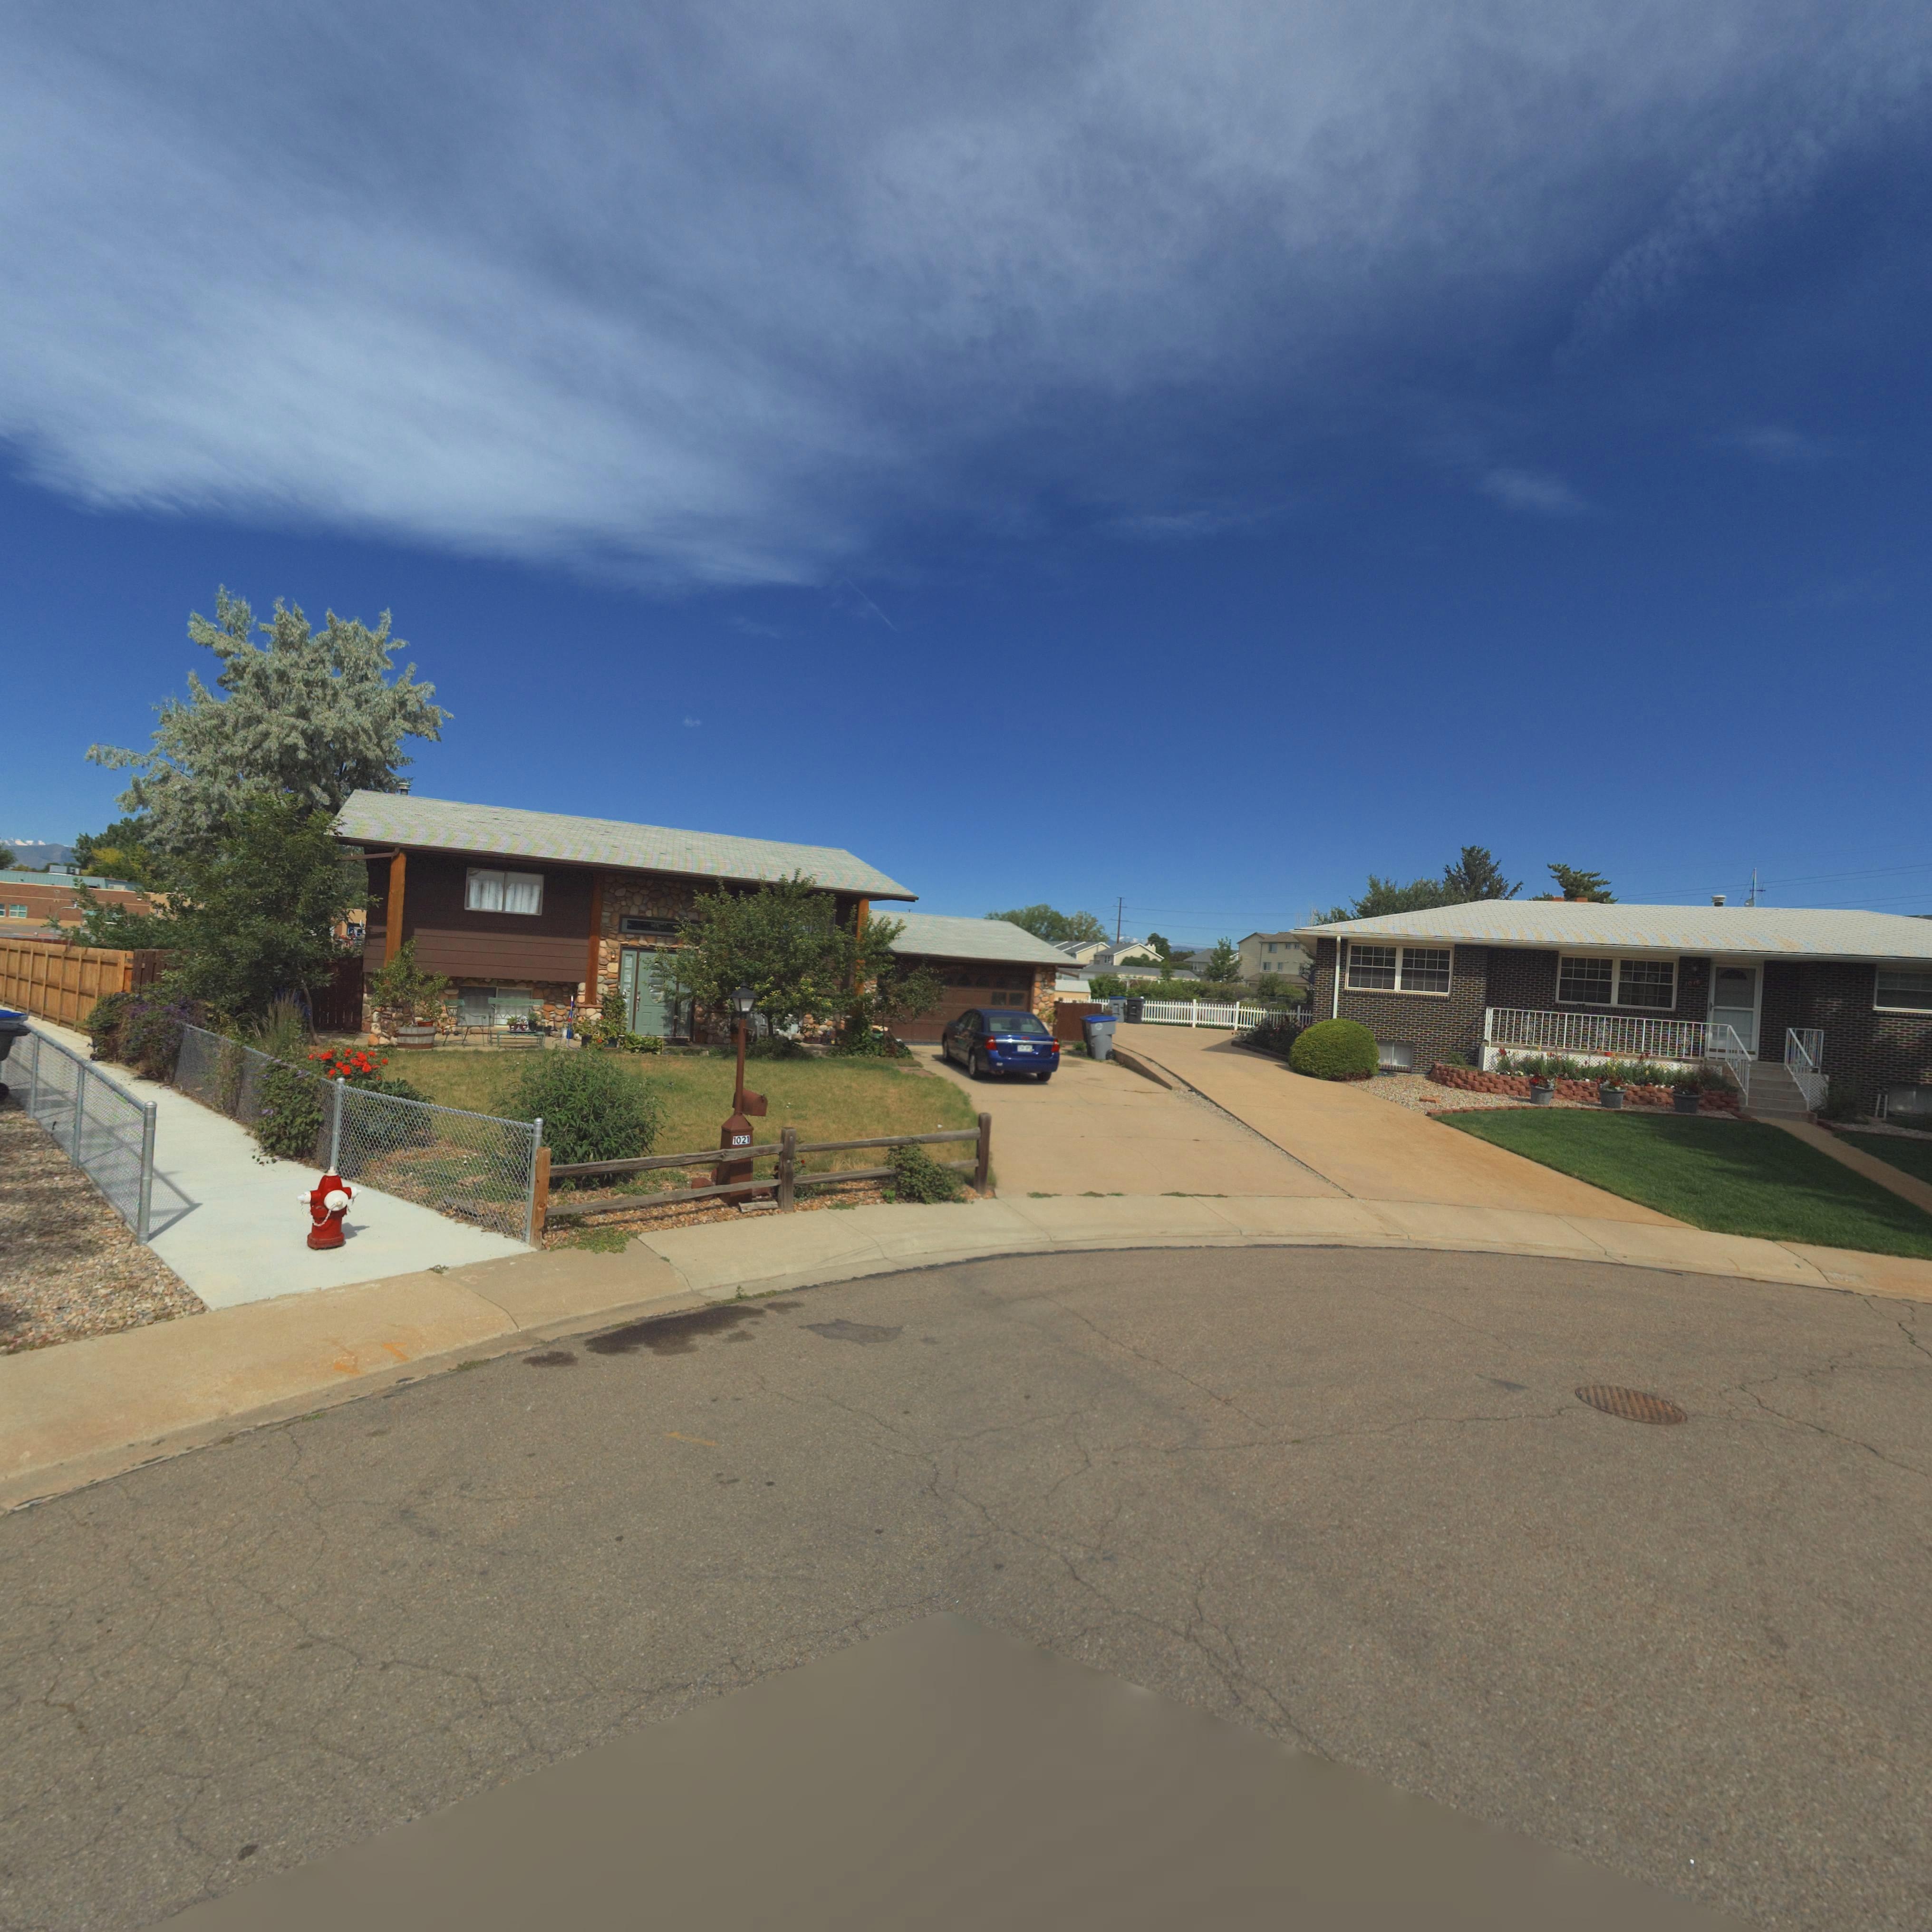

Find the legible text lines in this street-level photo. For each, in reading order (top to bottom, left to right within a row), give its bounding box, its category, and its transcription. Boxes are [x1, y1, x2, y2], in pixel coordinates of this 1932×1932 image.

[1684, 979, 1700, 986] StreetNumber: 1016
[734, 1136, 749, 1144] StreetNumber: 1021